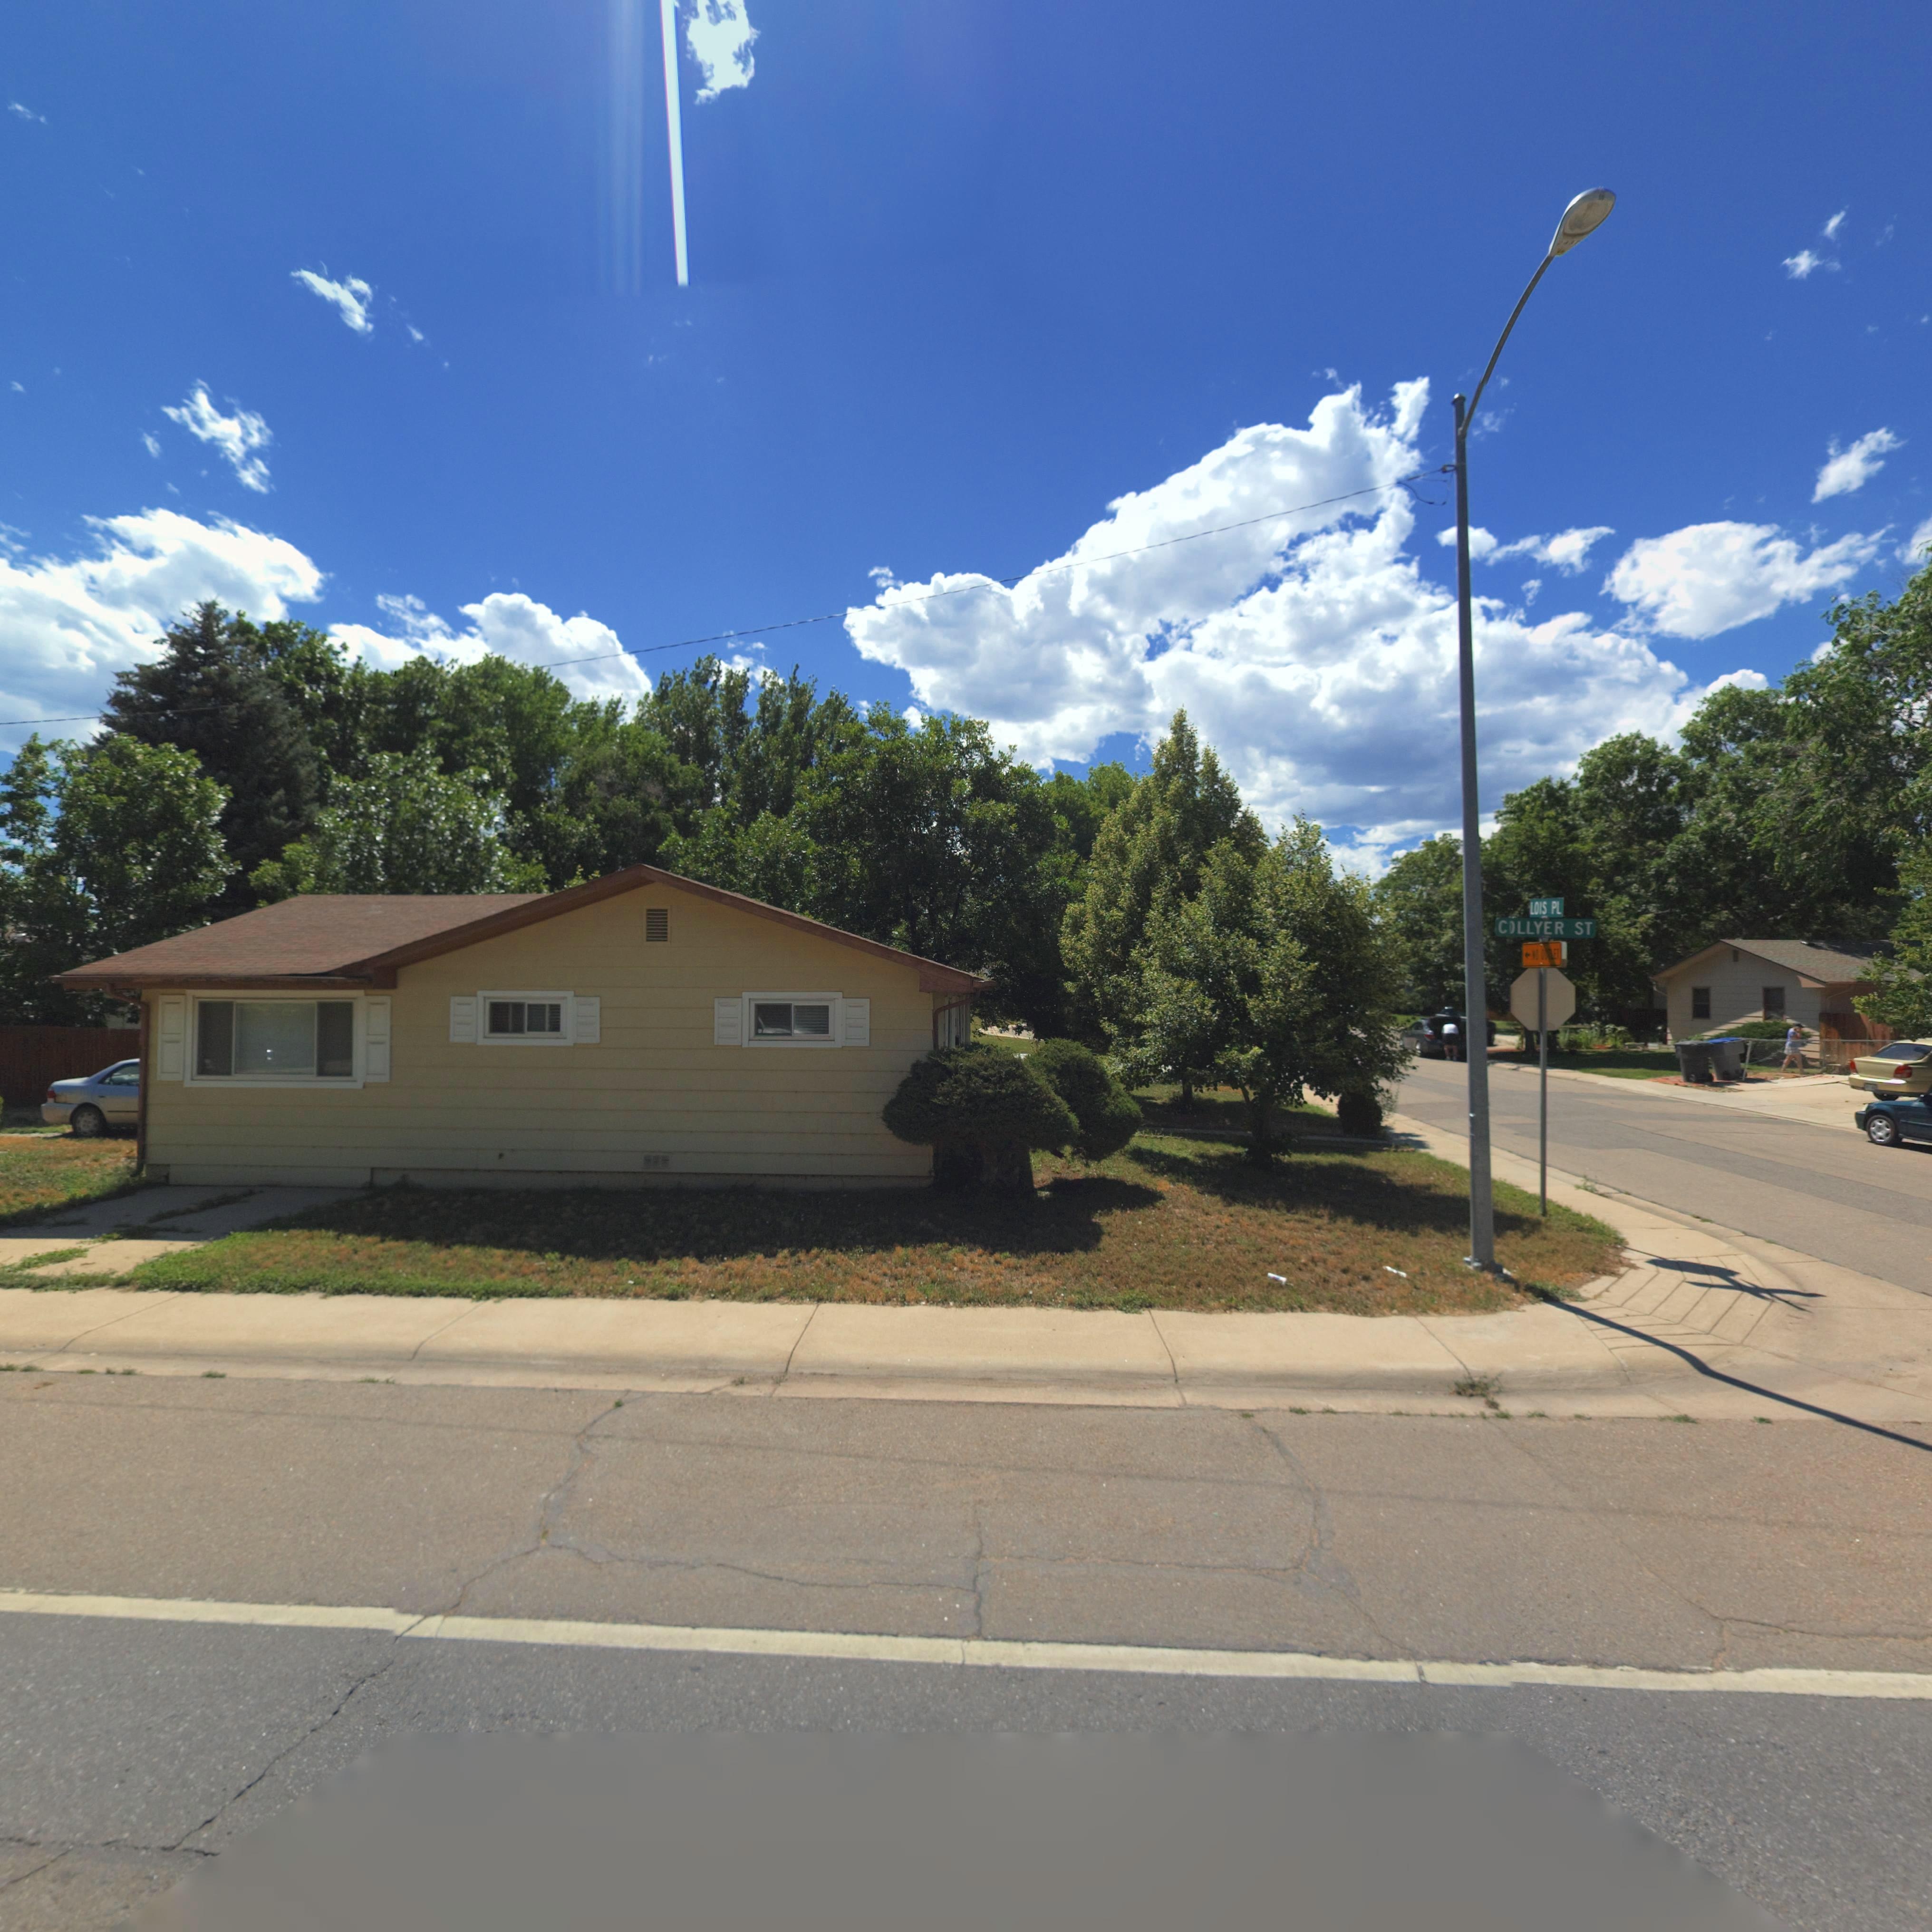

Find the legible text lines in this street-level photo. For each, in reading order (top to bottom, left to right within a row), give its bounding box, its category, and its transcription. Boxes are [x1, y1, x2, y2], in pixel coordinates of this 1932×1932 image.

[1529, 900, 1562, 915] StreetName: LOIS PL
[1497, 919, 1593, 936] StreetName: C*LLYER ST